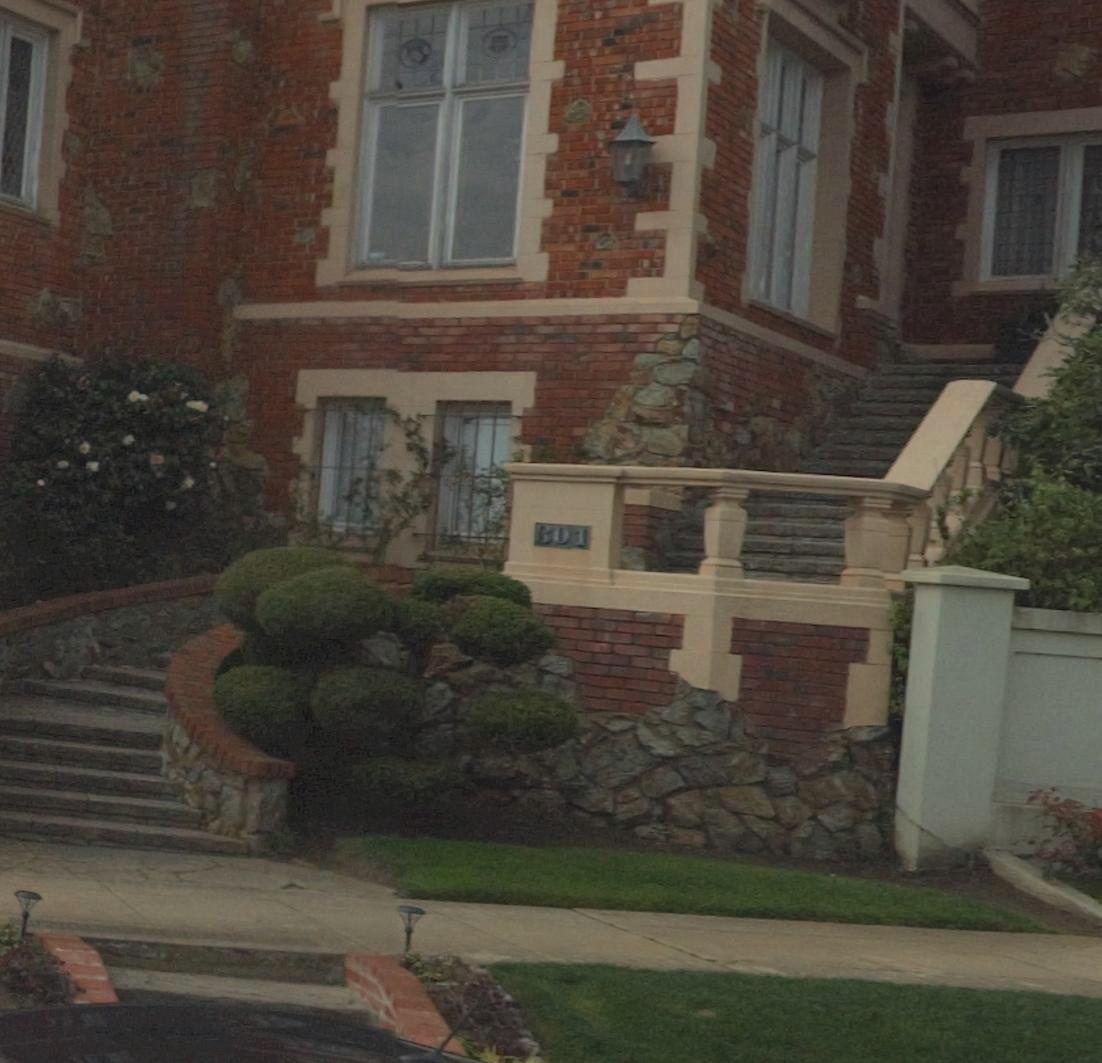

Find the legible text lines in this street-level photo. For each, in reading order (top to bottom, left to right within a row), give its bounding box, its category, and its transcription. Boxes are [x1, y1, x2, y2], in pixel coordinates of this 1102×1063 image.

[535, 524, 586, 546] StreetNumber: 801